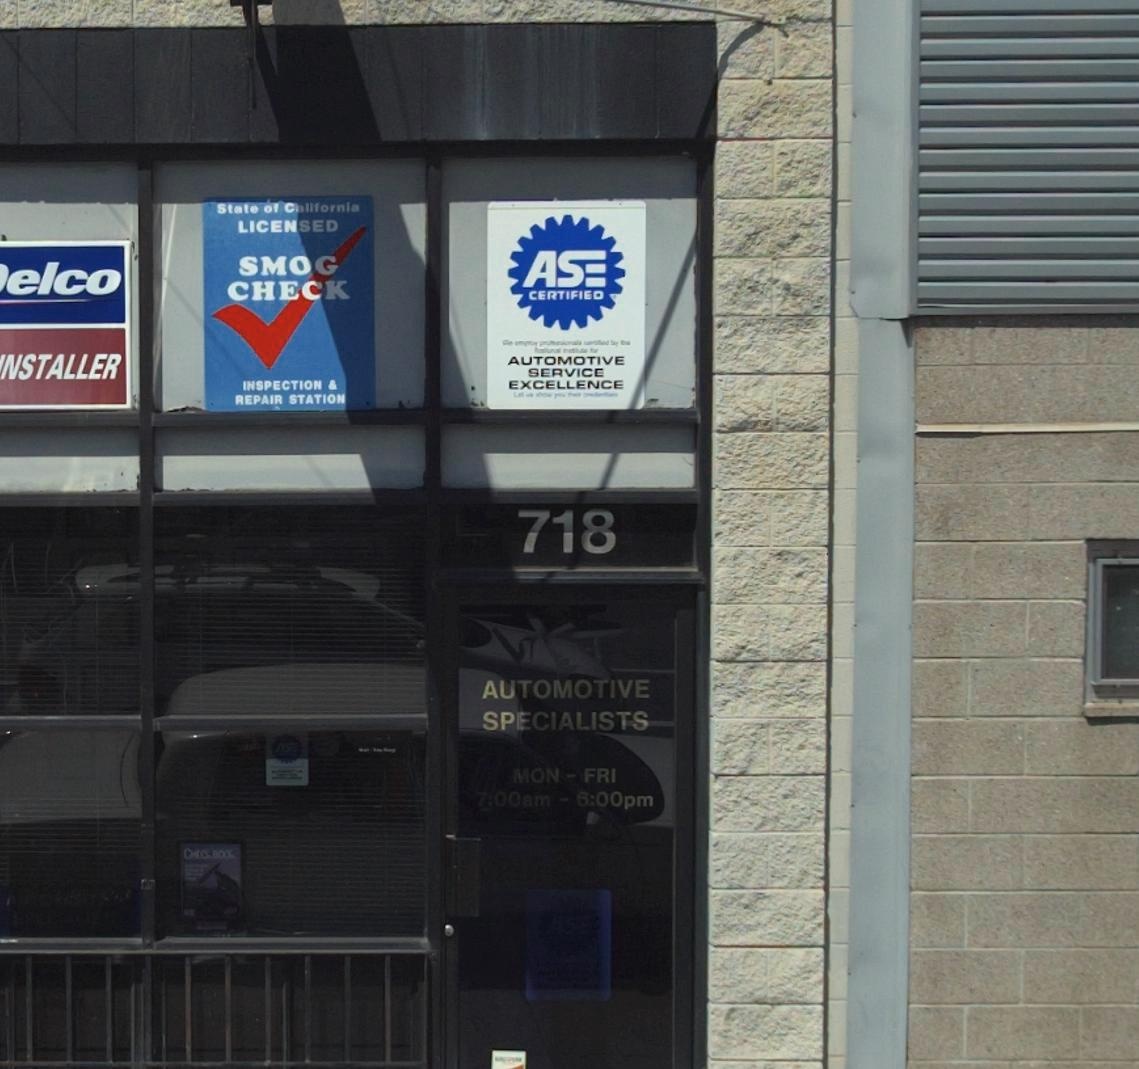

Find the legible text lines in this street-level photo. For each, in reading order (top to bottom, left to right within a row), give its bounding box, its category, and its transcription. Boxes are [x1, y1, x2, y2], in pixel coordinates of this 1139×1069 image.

[215, 199, 364, 216] None: State of California
[235, 218, 341, 233] None: LICENSED
[3, 257, 125, 296] None: elco
[234, 254, 341, 278] None: SMOG
[224, 279, 354, 302] None: CHECK
[527, 289, 606, 301] None: CERTIFIED
[0, 351, 126, 382] None: NSTALLER
[506, 355, 625, 366] None: AUTOMOTIVE
[527, 367, 605, 378] None: SERVICE
[242, 378, 339, 392] None: INSPECTION &
[507, 379, 624, 390] None: EXCELLENCE
[233, 393, 346, 406] None: REPAIR STATION
[518, 508, 617, 553] StreetNumber: 718
[479, 678, 652, 701] BusinessName: AUTOMOTIVE
[479, 709, 654, 734] BusinessName: SPECIALISTS
[512, 764, 621, 786] None: MON - FRI
[474, 790, 656, 812] None: 7:00am - 6:00pm